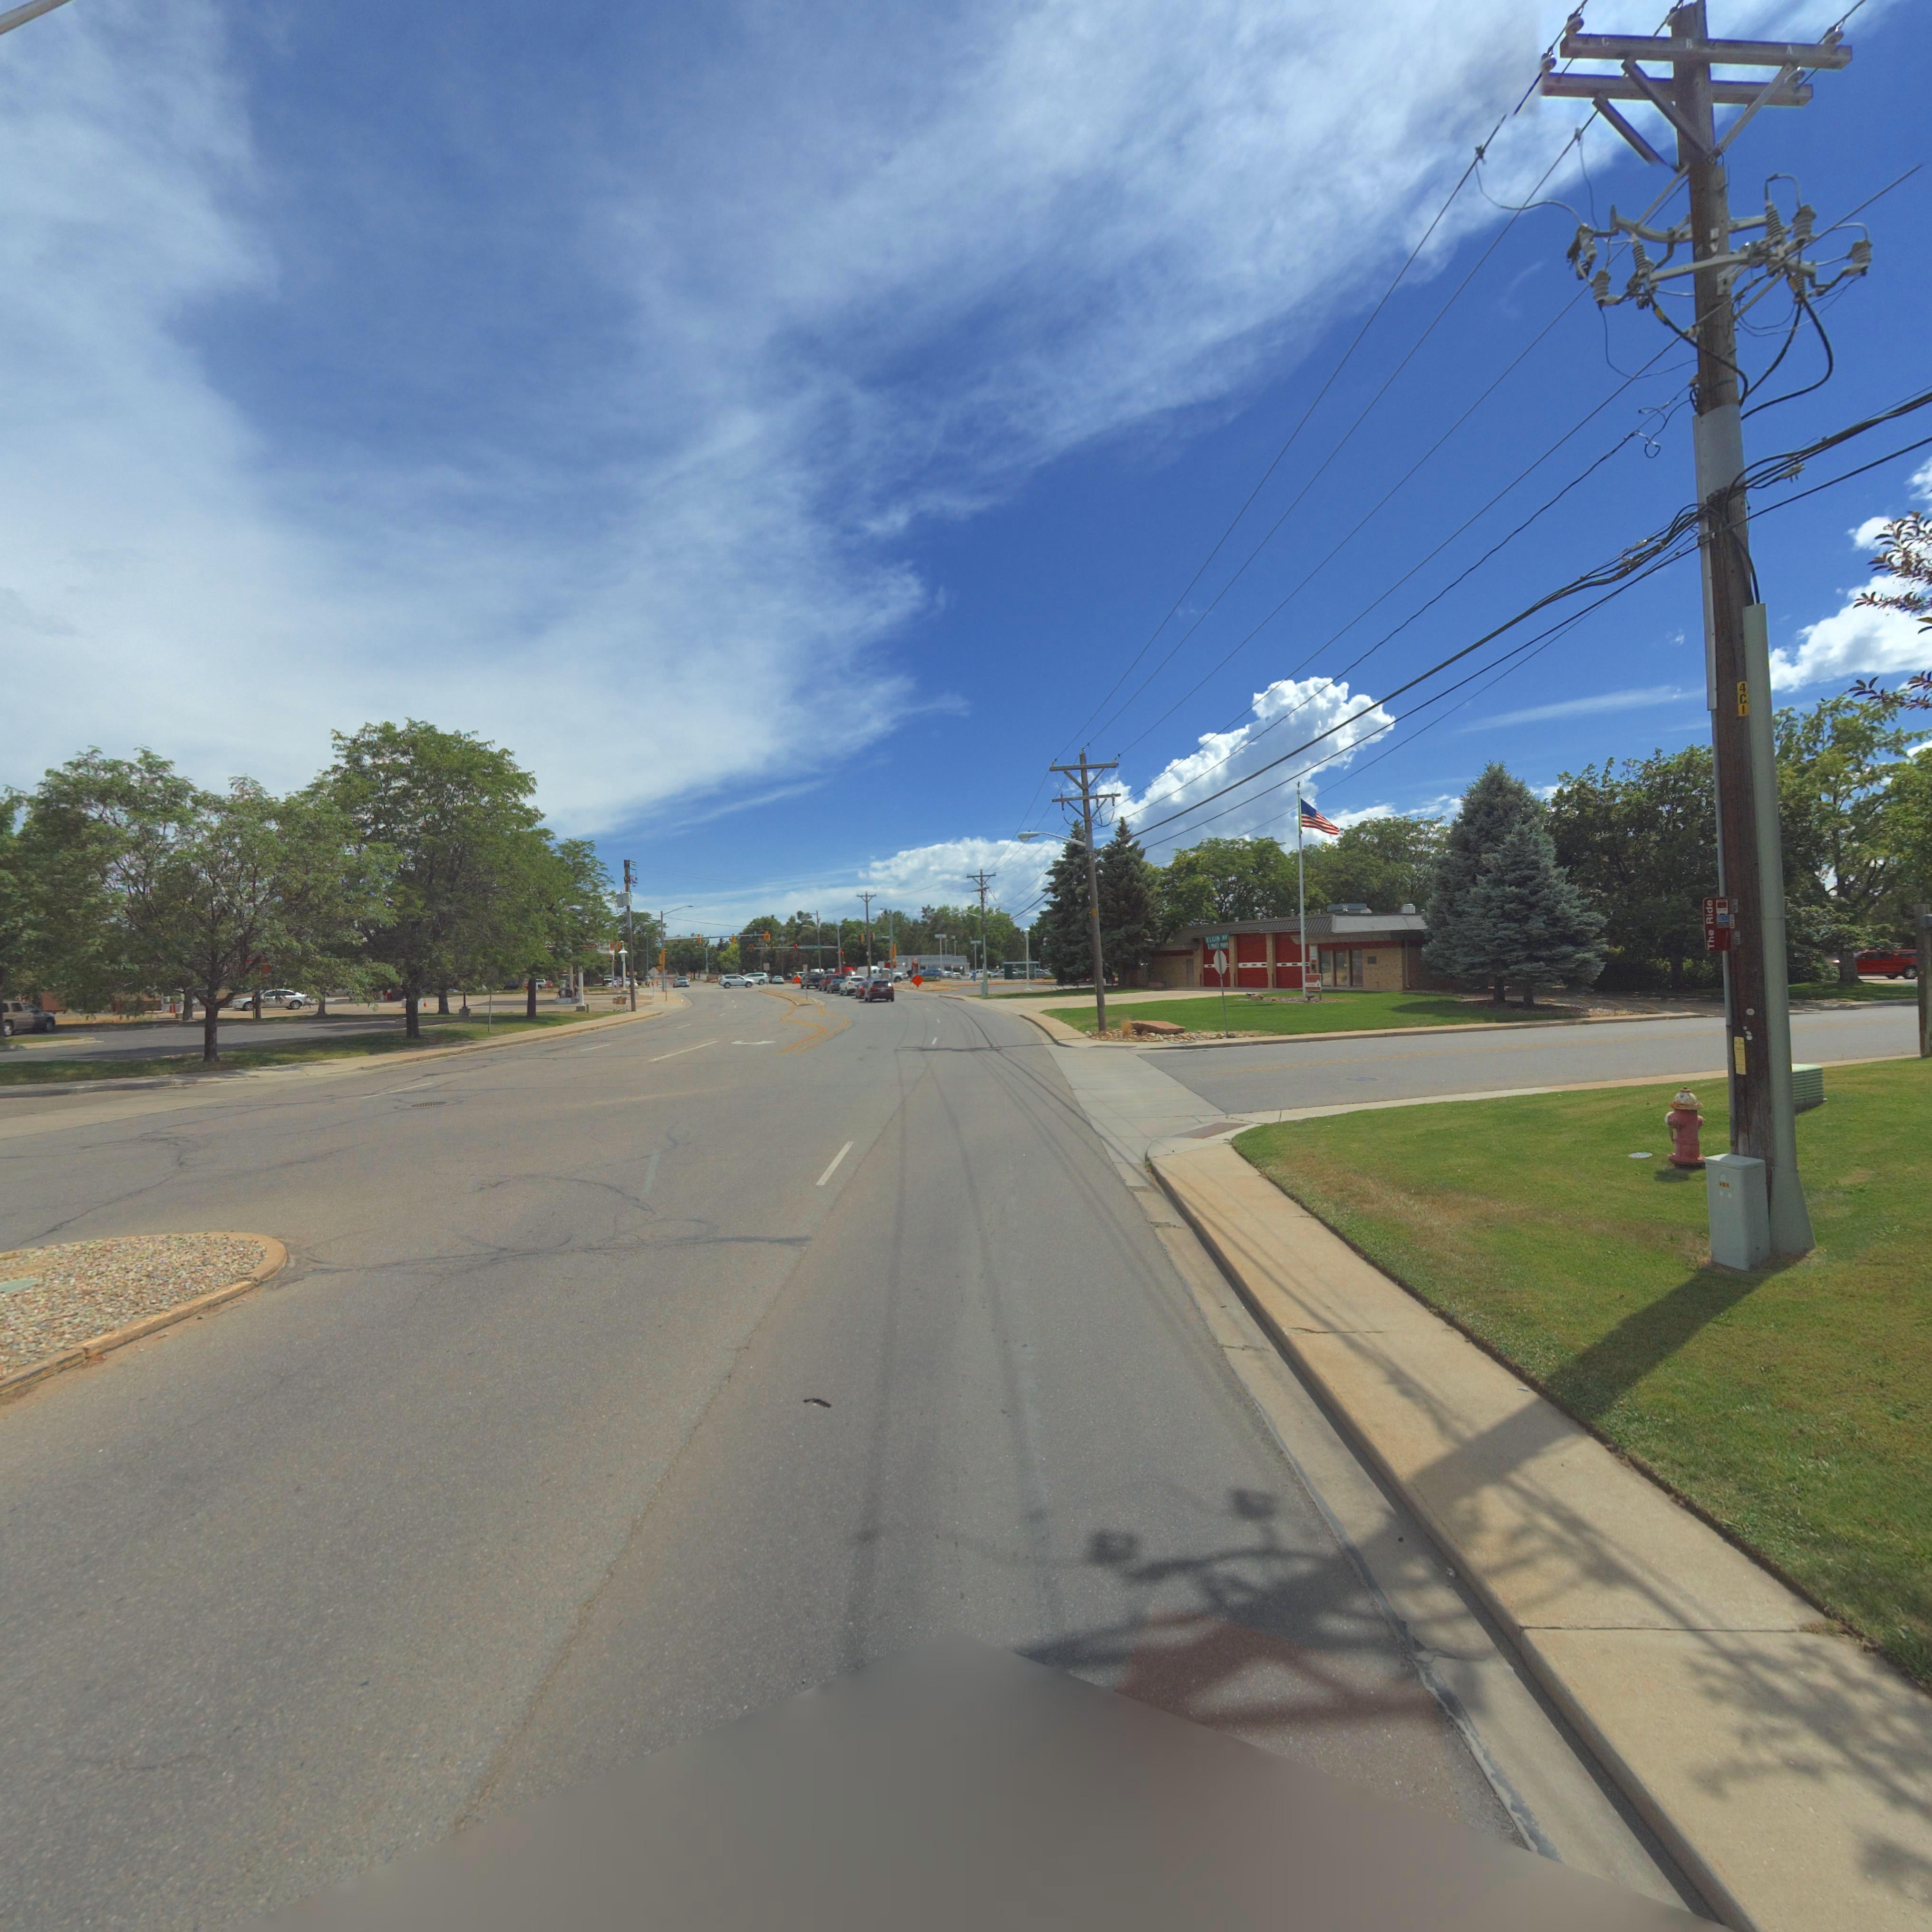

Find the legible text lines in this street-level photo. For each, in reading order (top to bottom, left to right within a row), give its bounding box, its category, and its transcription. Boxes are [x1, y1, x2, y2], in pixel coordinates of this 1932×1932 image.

[1206, 934, 1227, 943] StreetName: ELGIN AV
[1207, 942, 1228, 949] StreetName: S PRATT PKWY